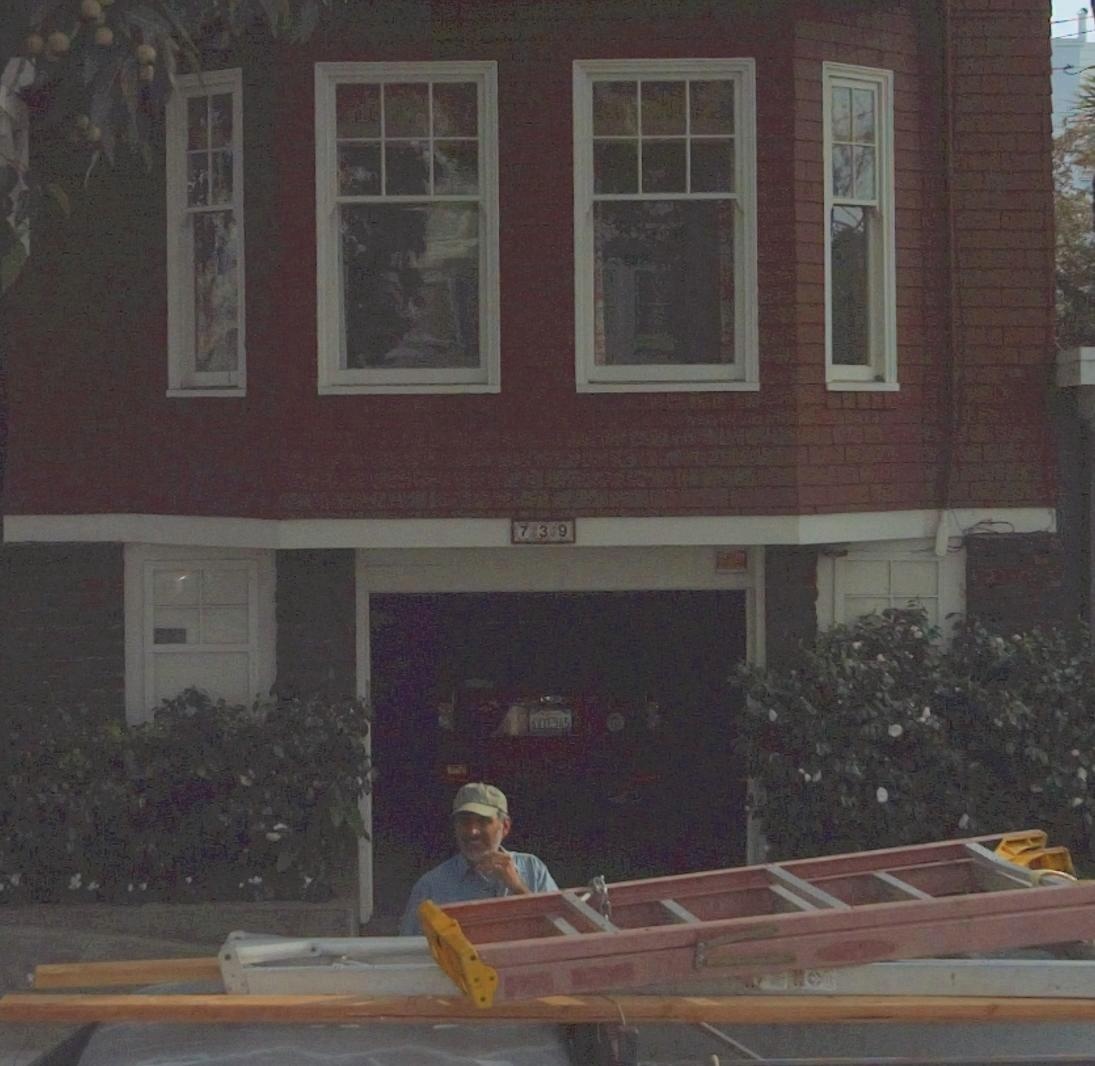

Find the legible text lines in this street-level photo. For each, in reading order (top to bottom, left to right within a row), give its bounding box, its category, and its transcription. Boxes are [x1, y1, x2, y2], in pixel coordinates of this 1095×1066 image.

[519, 524, 569, 538] StreetNumber: 7*3*9